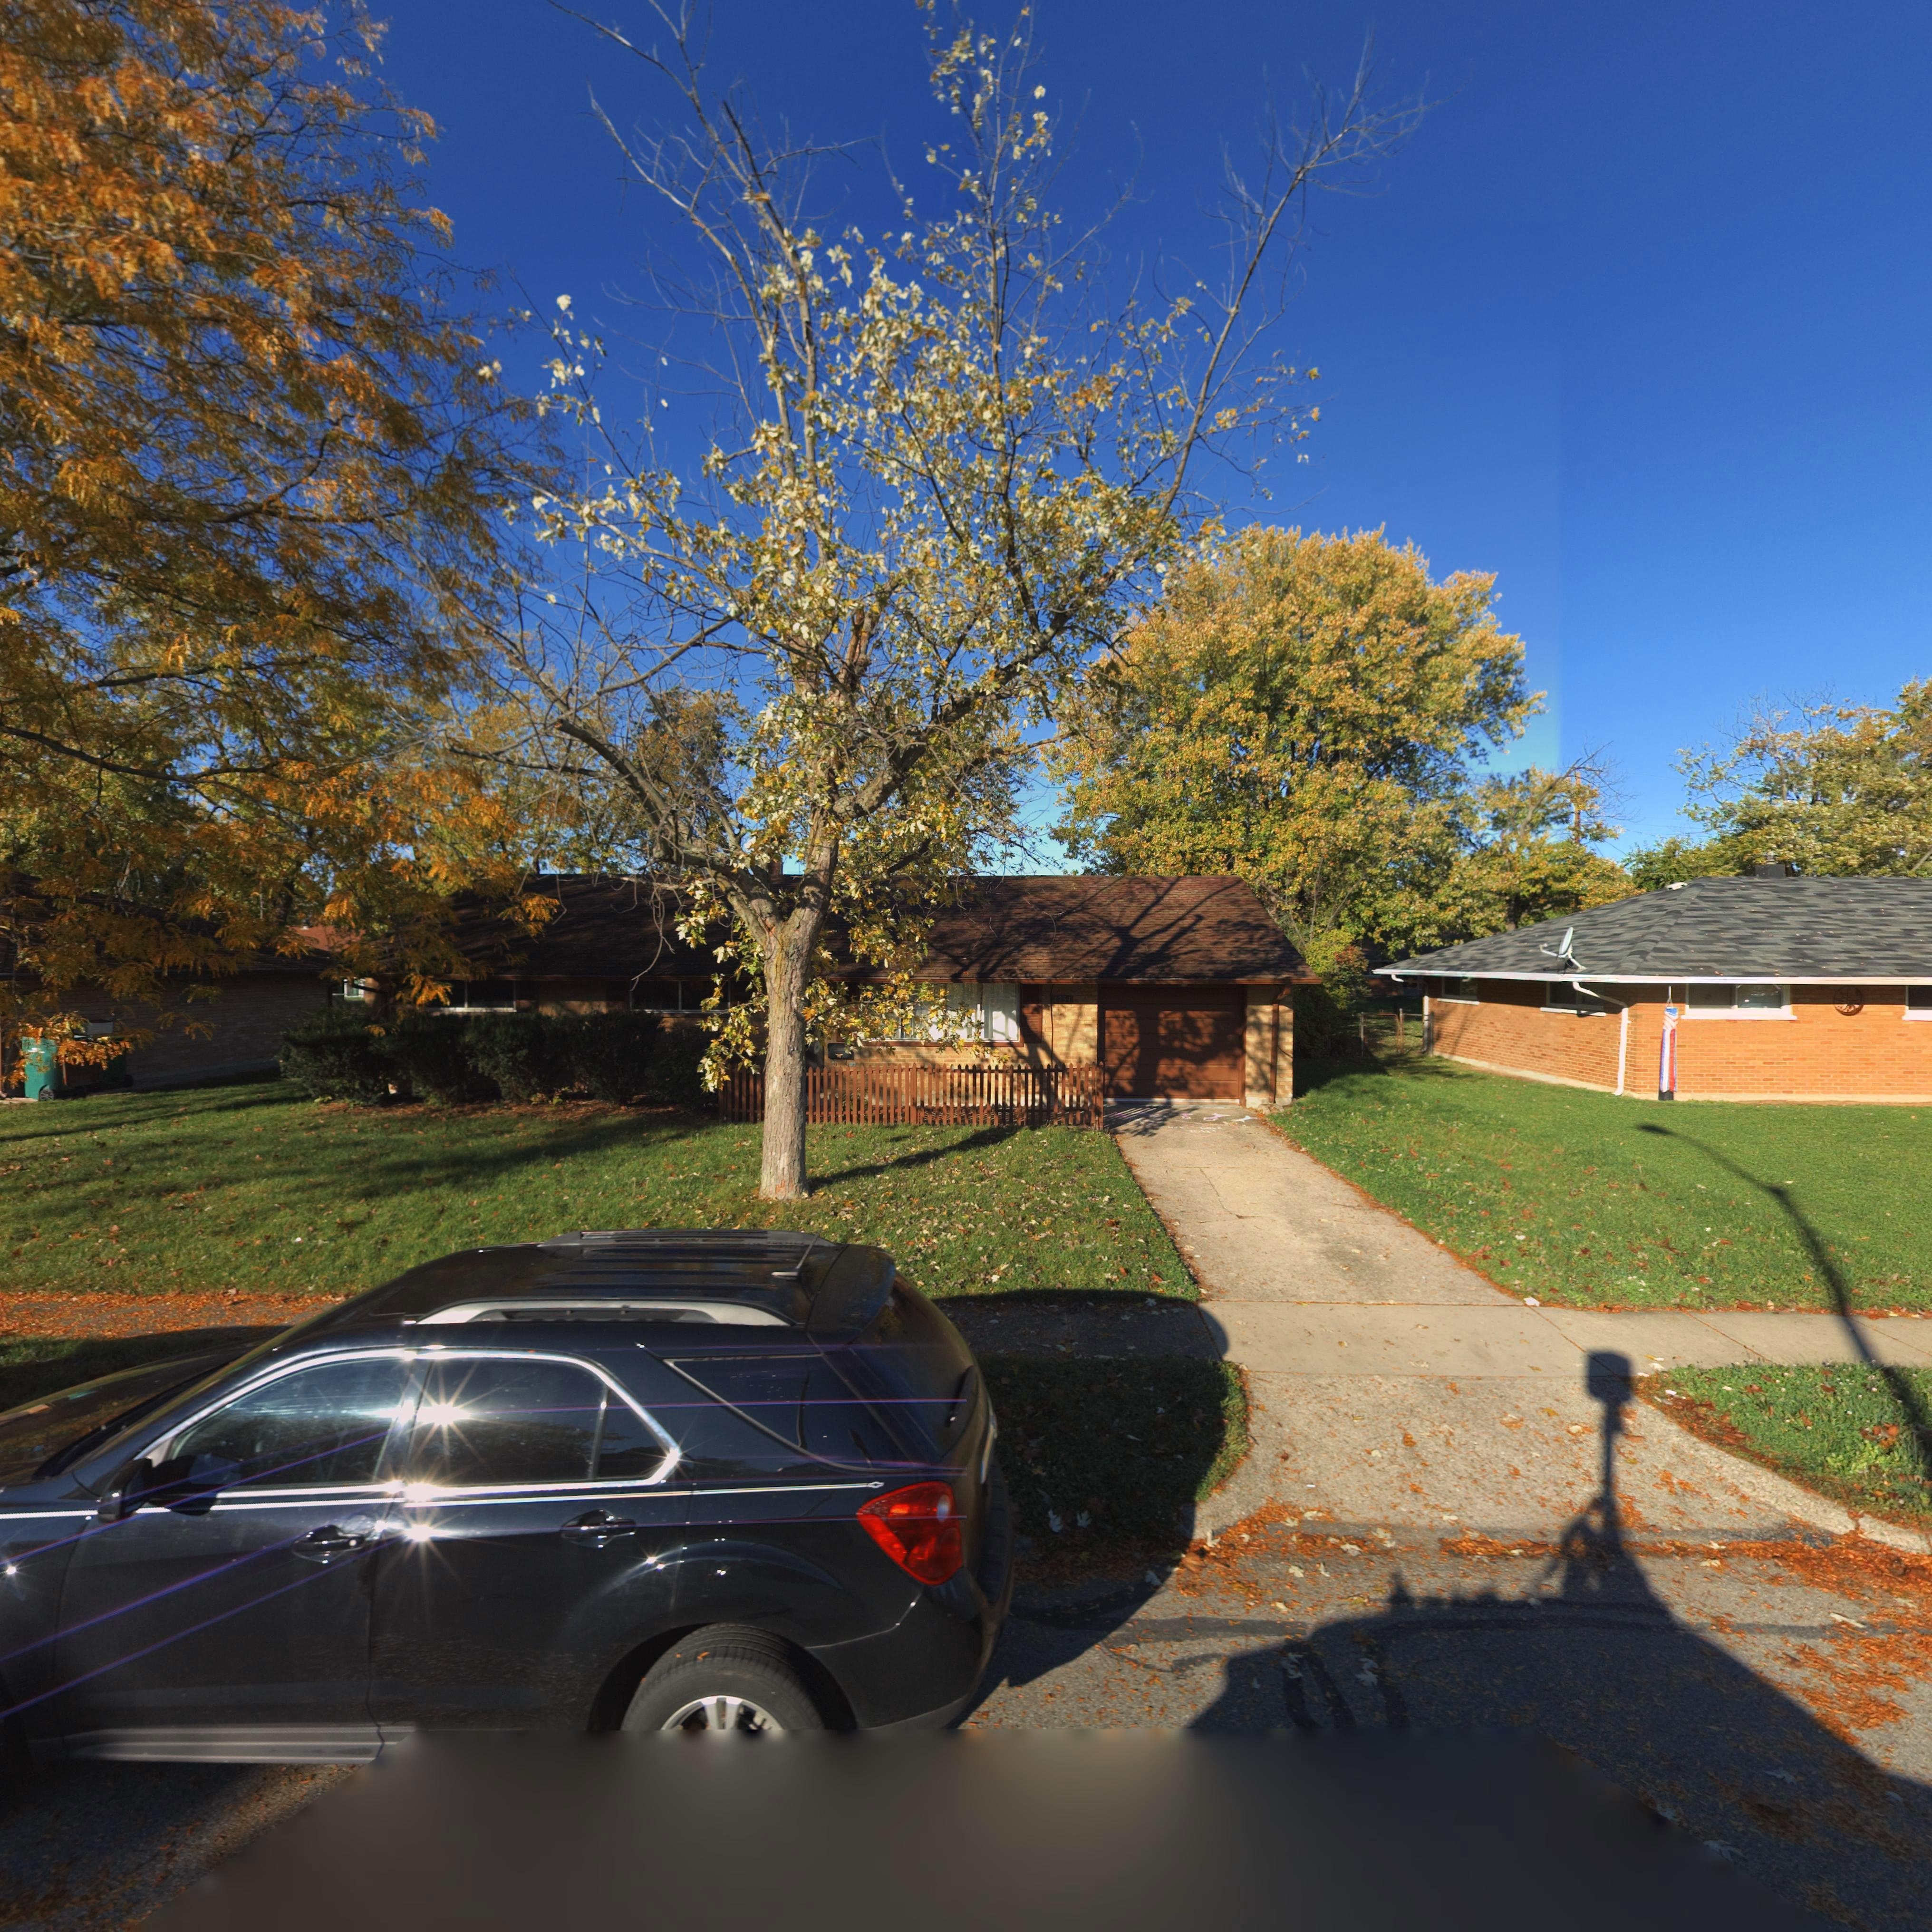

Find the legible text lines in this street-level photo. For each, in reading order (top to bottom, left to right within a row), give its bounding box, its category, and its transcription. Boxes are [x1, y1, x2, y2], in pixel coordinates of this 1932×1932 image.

[1052, 995, 1070, 1003] StreetNumber: 4751